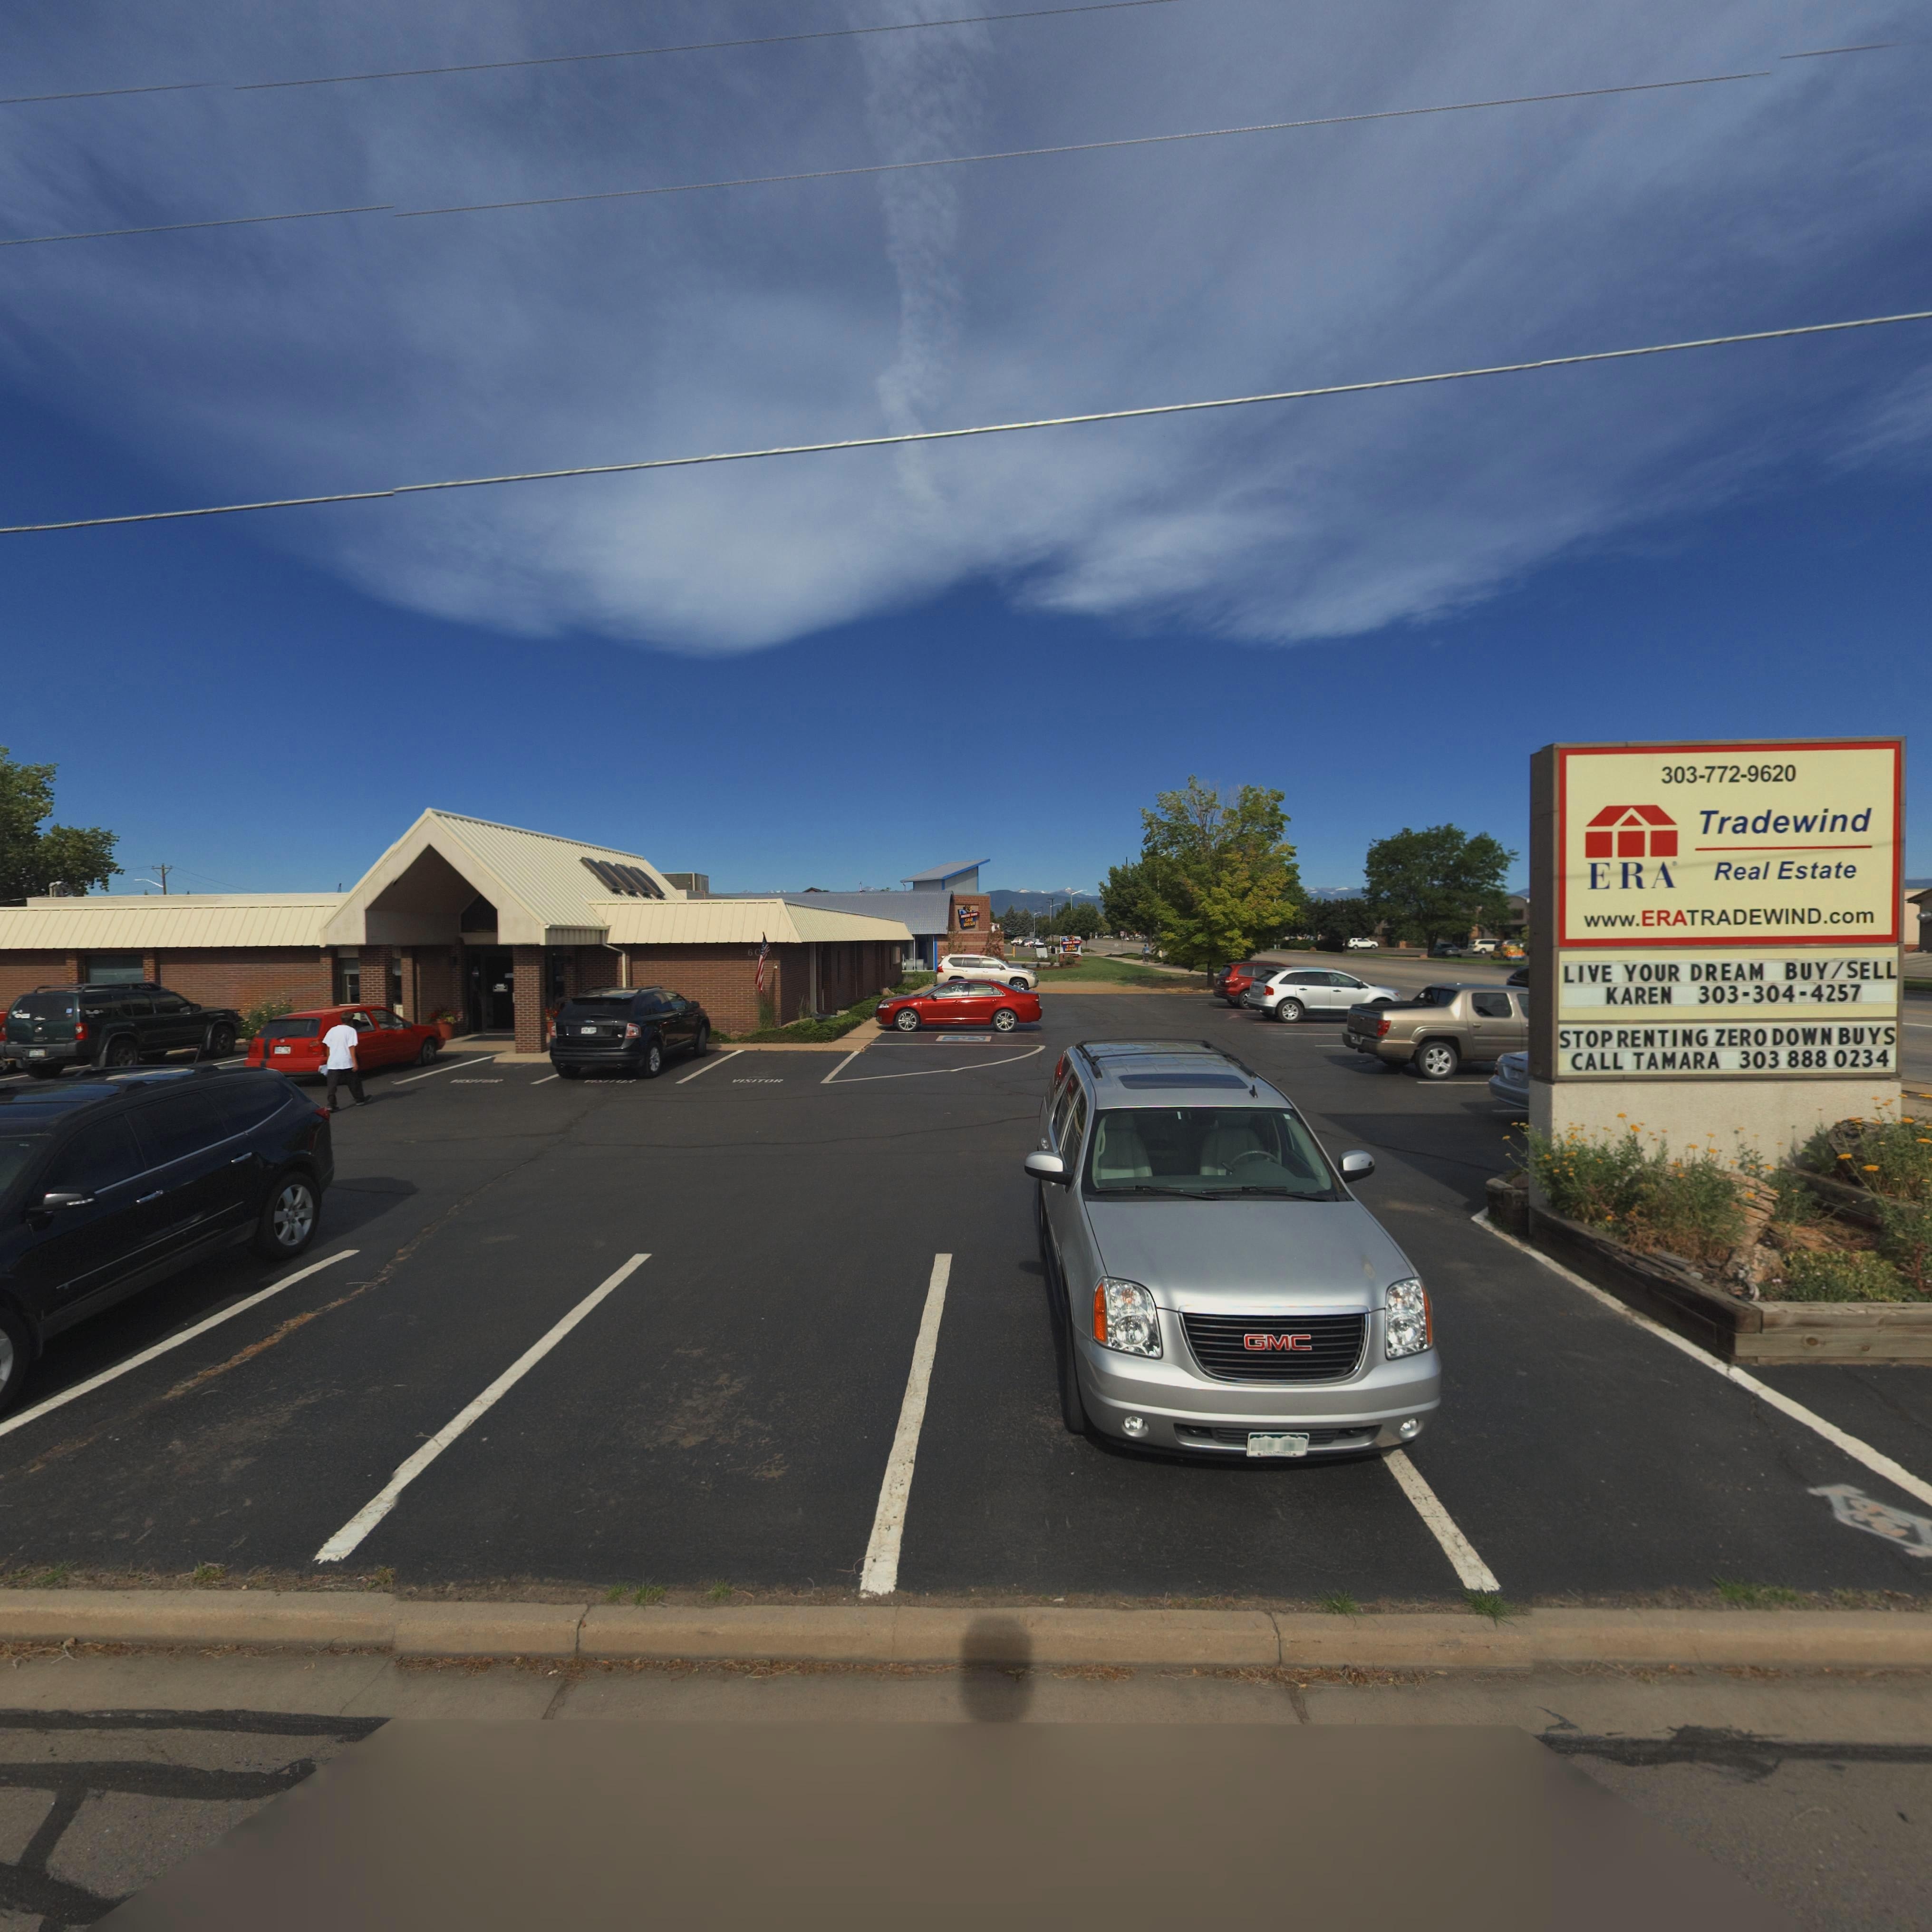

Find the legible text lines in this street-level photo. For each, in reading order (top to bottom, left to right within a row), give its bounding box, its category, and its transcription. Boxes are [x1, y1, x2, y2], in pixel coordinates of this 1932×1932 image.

[1698, 805, 1874, 835] BusinessName: Tradewind
[1713, 860, 1858, 881] BusinessName: Real Estate
[1587, 860, 1677, 890] BusinessName: ERA
[964, 917, 973, 922] BusinessName: CAR
[962, 920, 976, 927] BusinessName: **SH
[746, 948, 761, 956] StreetNumber: 60
[1066, 944, 1075, 947] BusinessName: C*R
[1064, 947, 1077, 951] BusinessName: W***